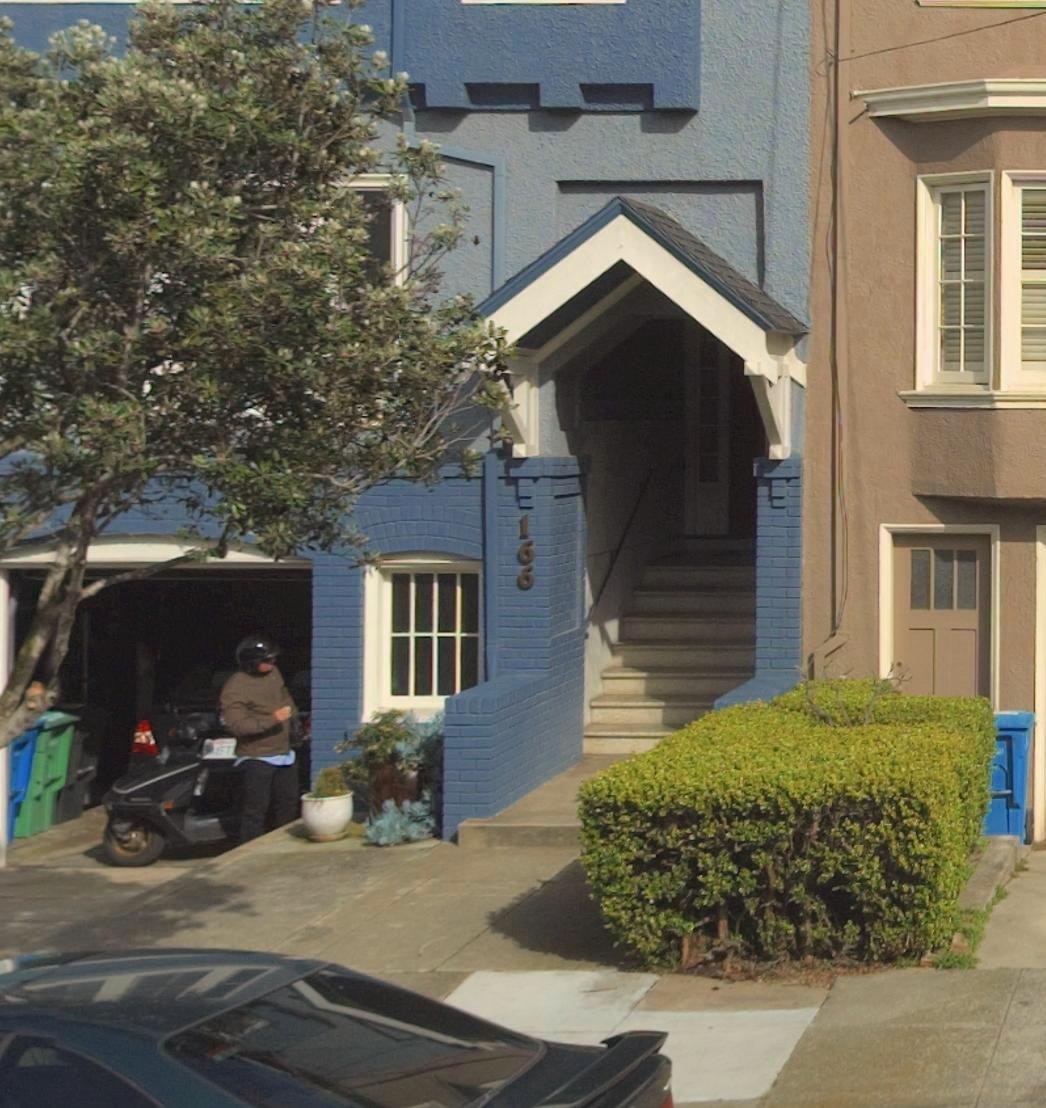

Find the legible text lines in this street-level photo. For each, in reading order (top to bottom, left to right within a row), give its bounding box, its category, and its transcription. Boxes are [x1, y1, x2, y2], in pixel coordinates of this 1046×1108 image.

[515, 513, 536, 593] StreetNumber: 166